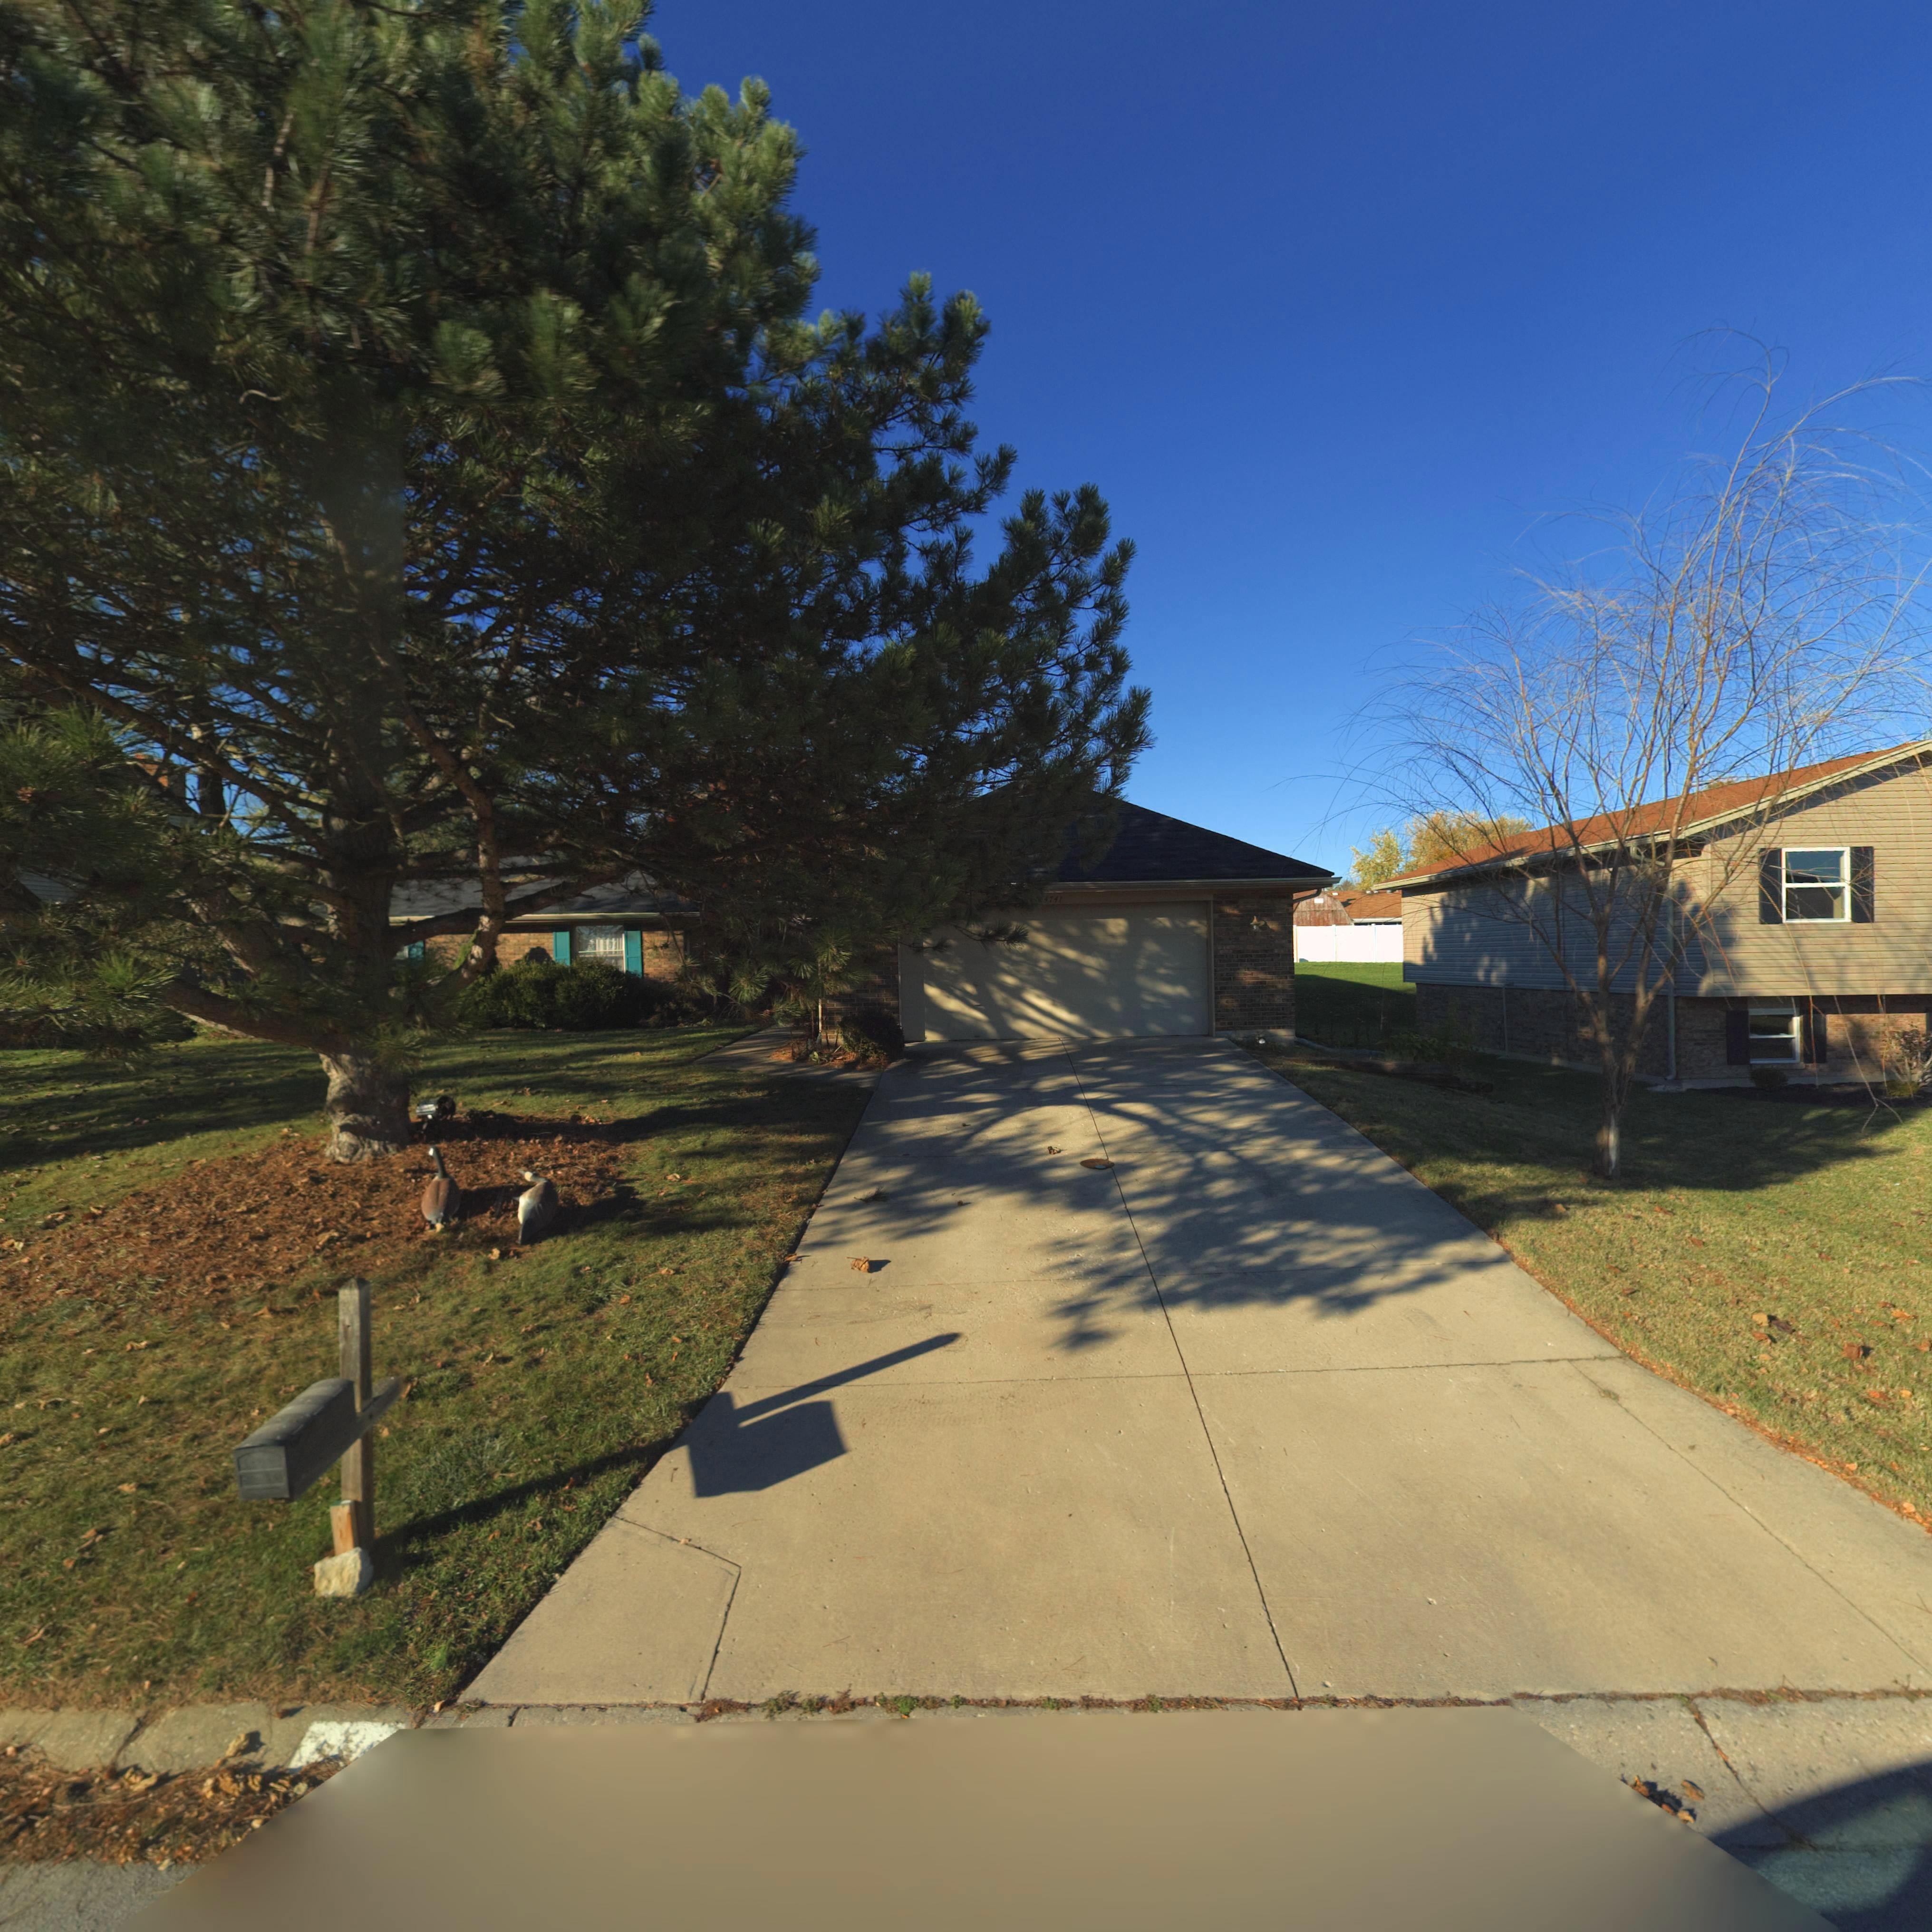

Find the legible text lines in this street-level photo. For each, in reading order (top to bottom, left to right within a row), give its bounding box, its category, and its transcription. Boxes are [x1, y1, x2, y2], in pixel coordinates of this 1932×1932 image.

[1043, 894, 1064, 904] StreetNumber: 4741